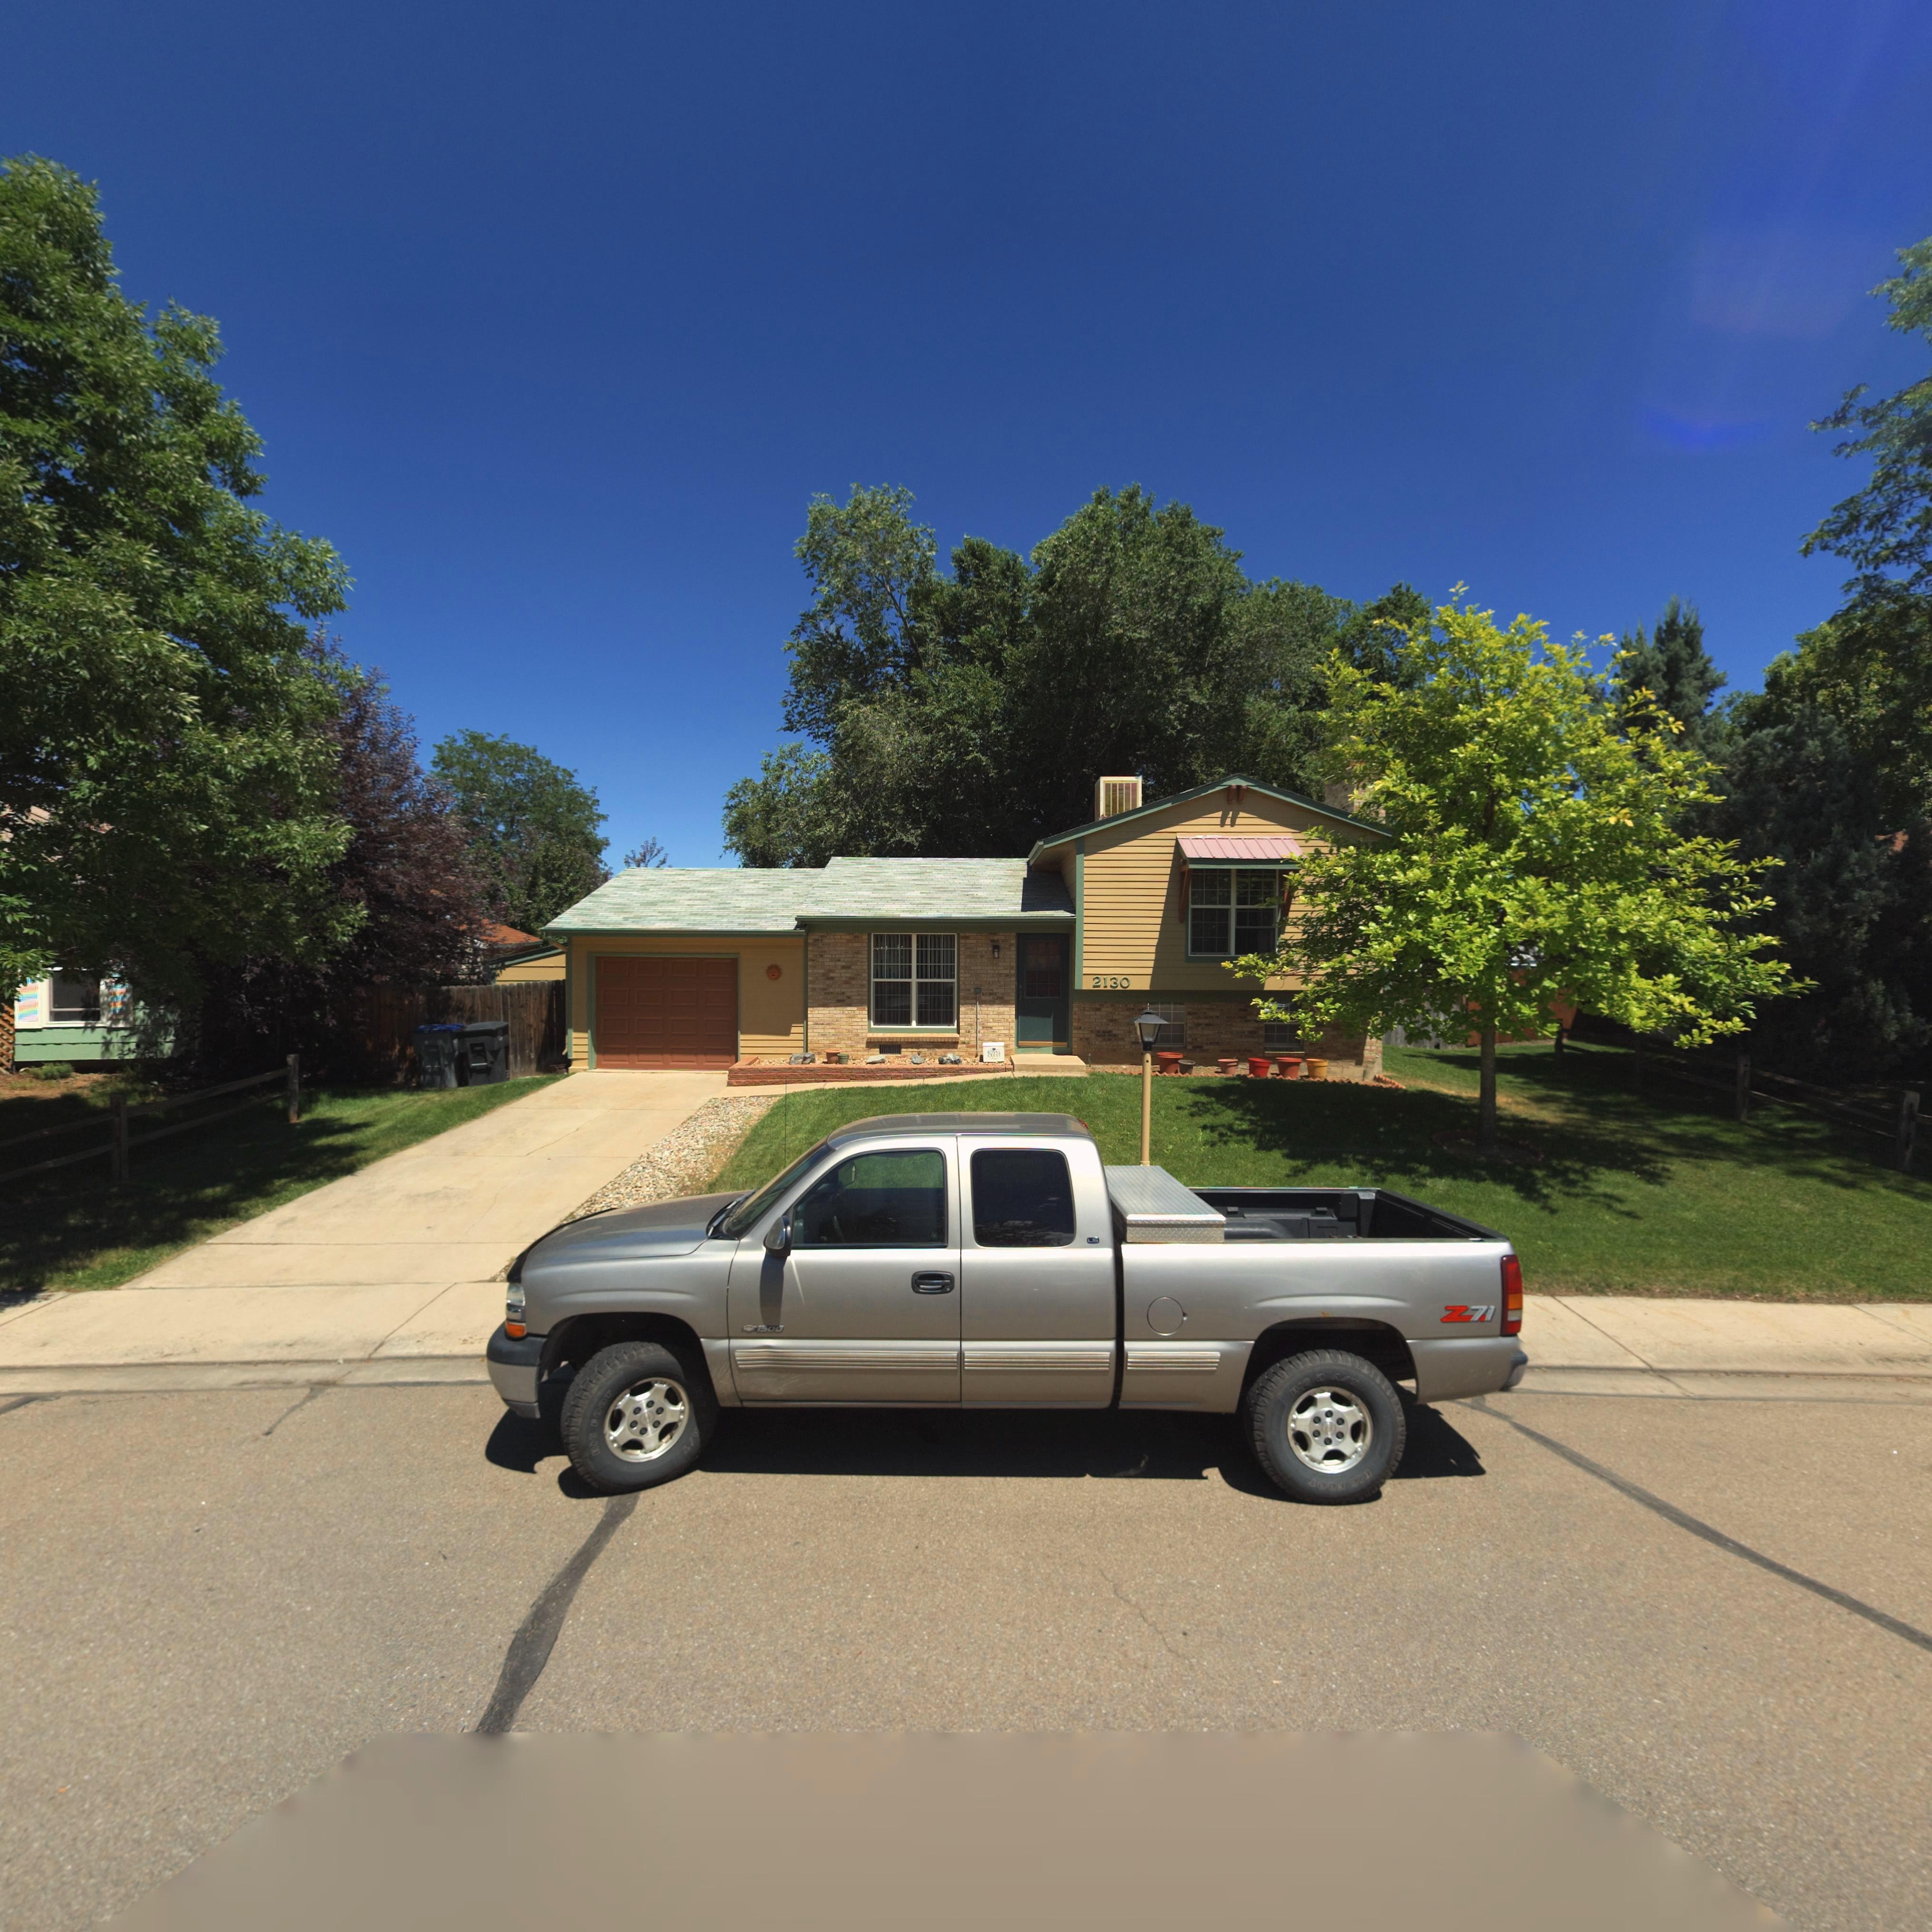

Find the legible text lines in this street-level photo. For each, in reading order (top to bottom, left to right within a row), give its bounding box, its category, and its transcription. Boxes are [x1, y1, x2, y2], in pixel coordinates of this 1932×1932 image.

[1092, 975, 1131, 987] StreetNumber: 2130